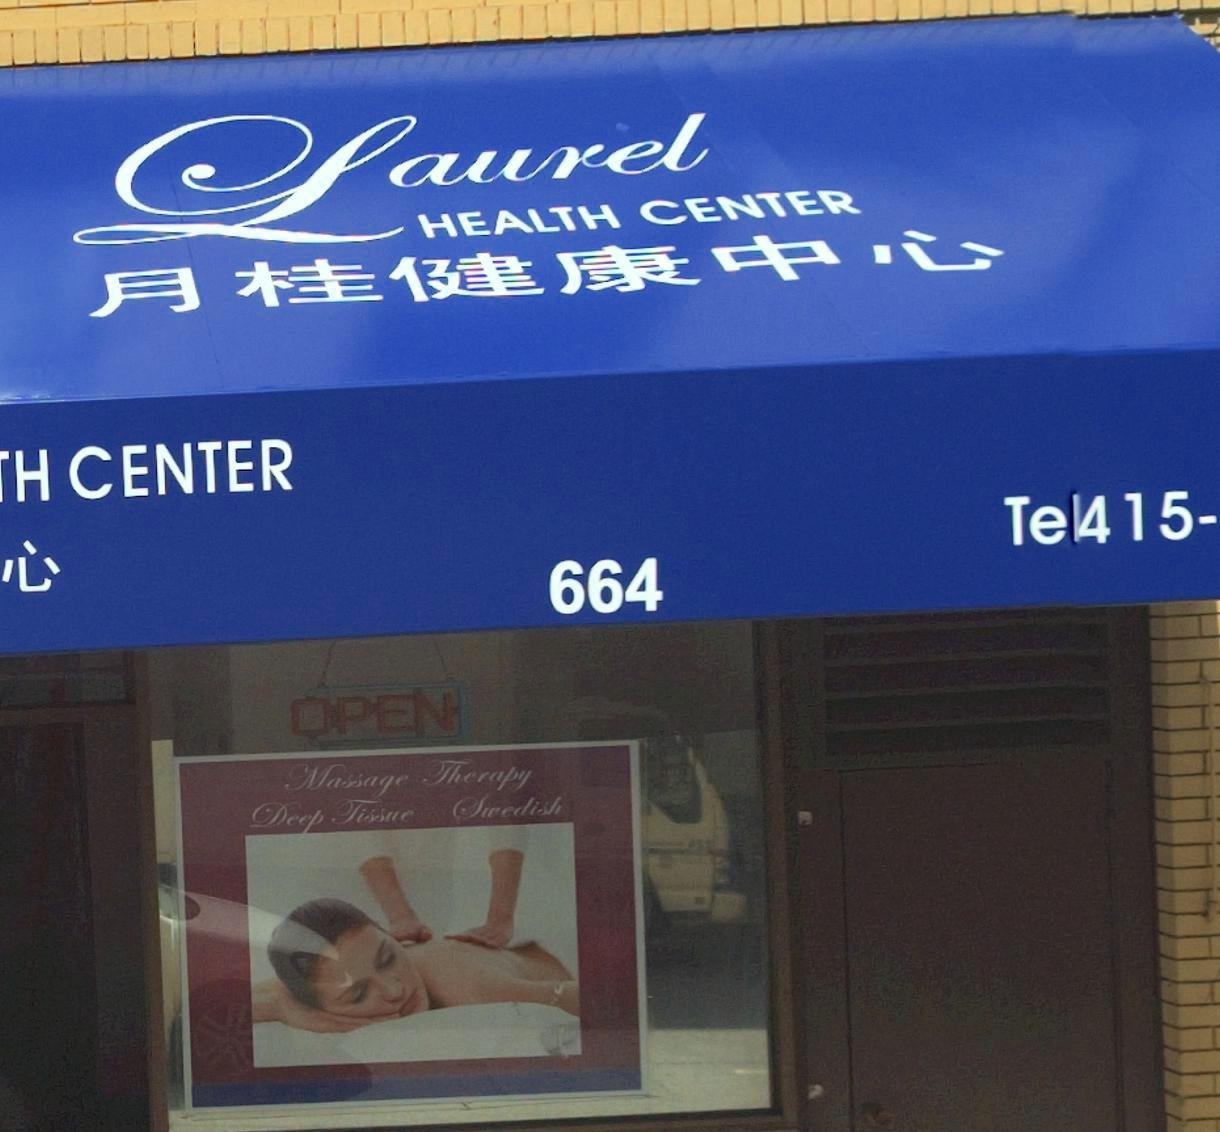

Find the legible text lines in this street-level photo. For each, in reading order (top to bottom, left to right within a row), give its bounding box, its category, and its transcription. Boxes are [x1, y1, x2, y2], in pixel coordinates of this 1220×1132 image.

[64, 98, 729, 260] BusinessName: Laurel
[414, 181, 873, 246] BusinessName: HEATH CENTER
[11, 433, 300, 508] None: H CENTER
[996, 483, 1199, 553] None: TE*415
[545, 554, 669, 619] StreetNumber: 664
[286, 688, 461, 738] None: OPEN
[246, 795, 416, 839] None: Deep Tissue
[280, 755, 539, 799] None: Massage Therapy
[444, 791, 570, 822] None: Swedish